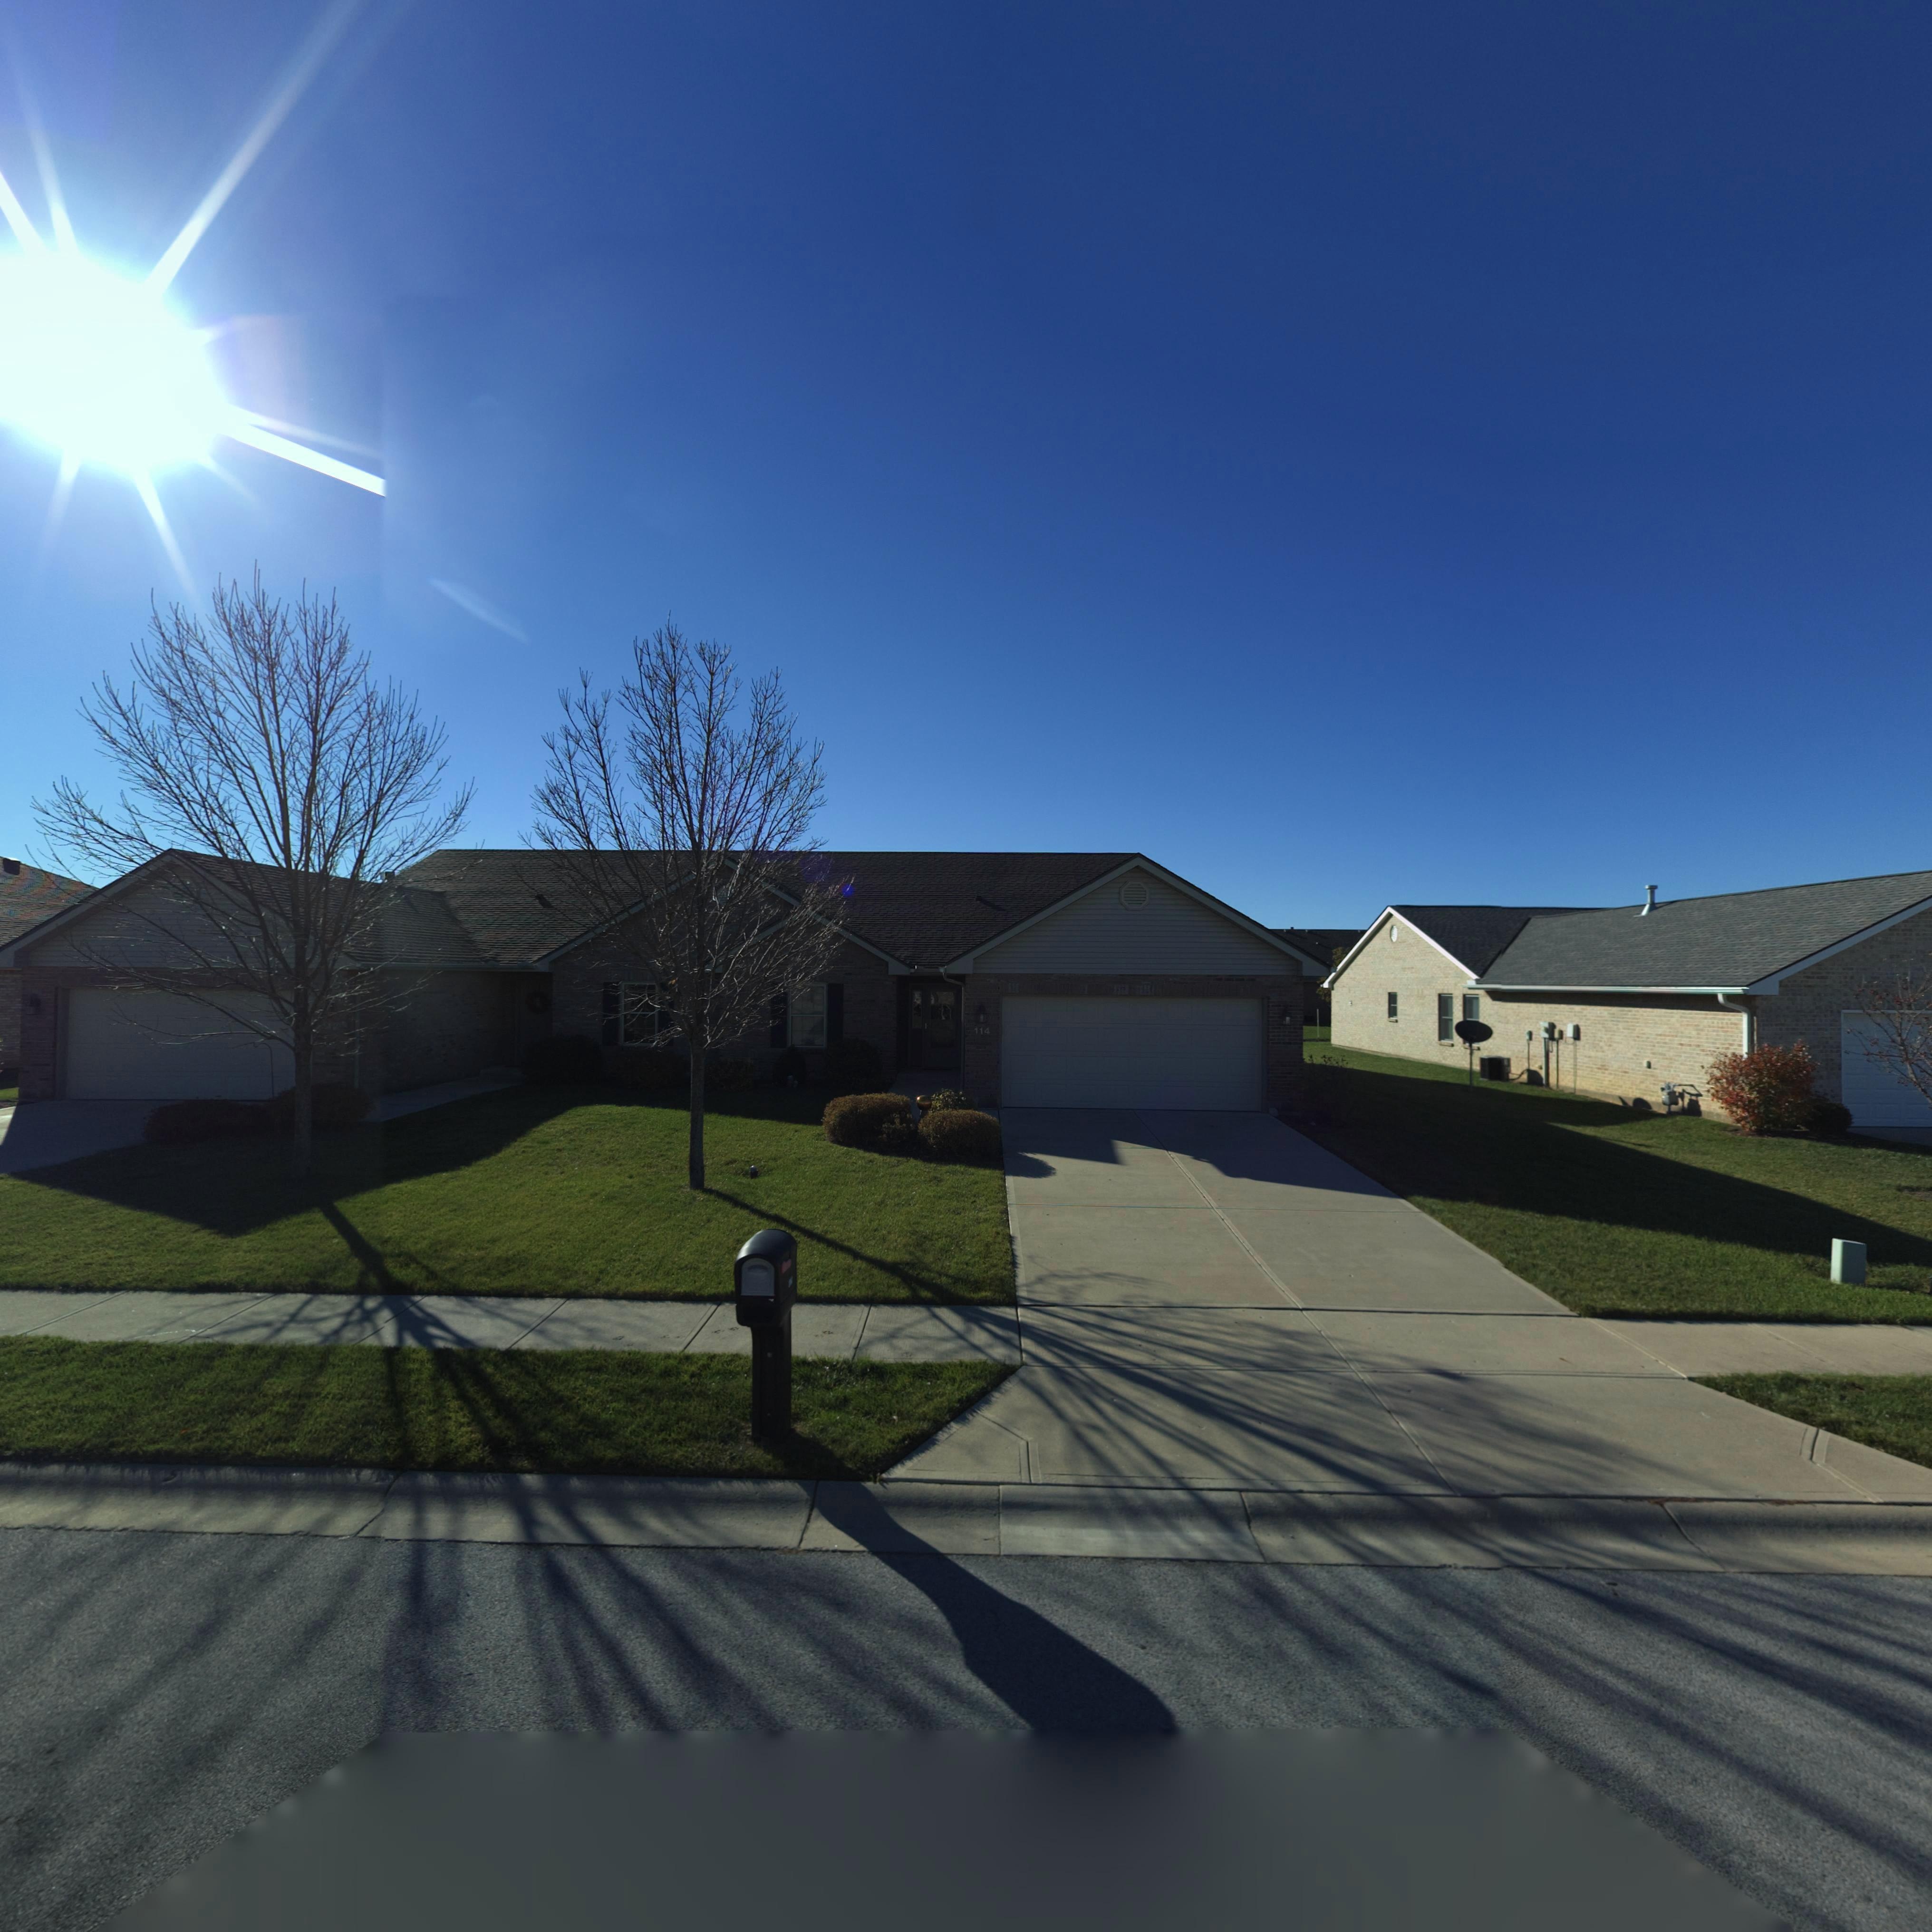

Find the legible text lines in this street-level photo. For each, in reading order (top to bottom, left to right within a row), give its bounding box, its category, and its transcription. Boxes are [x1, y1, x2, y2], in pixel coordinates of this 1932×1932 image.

[974, 1026, 991, 1035] StreetNumber: 114